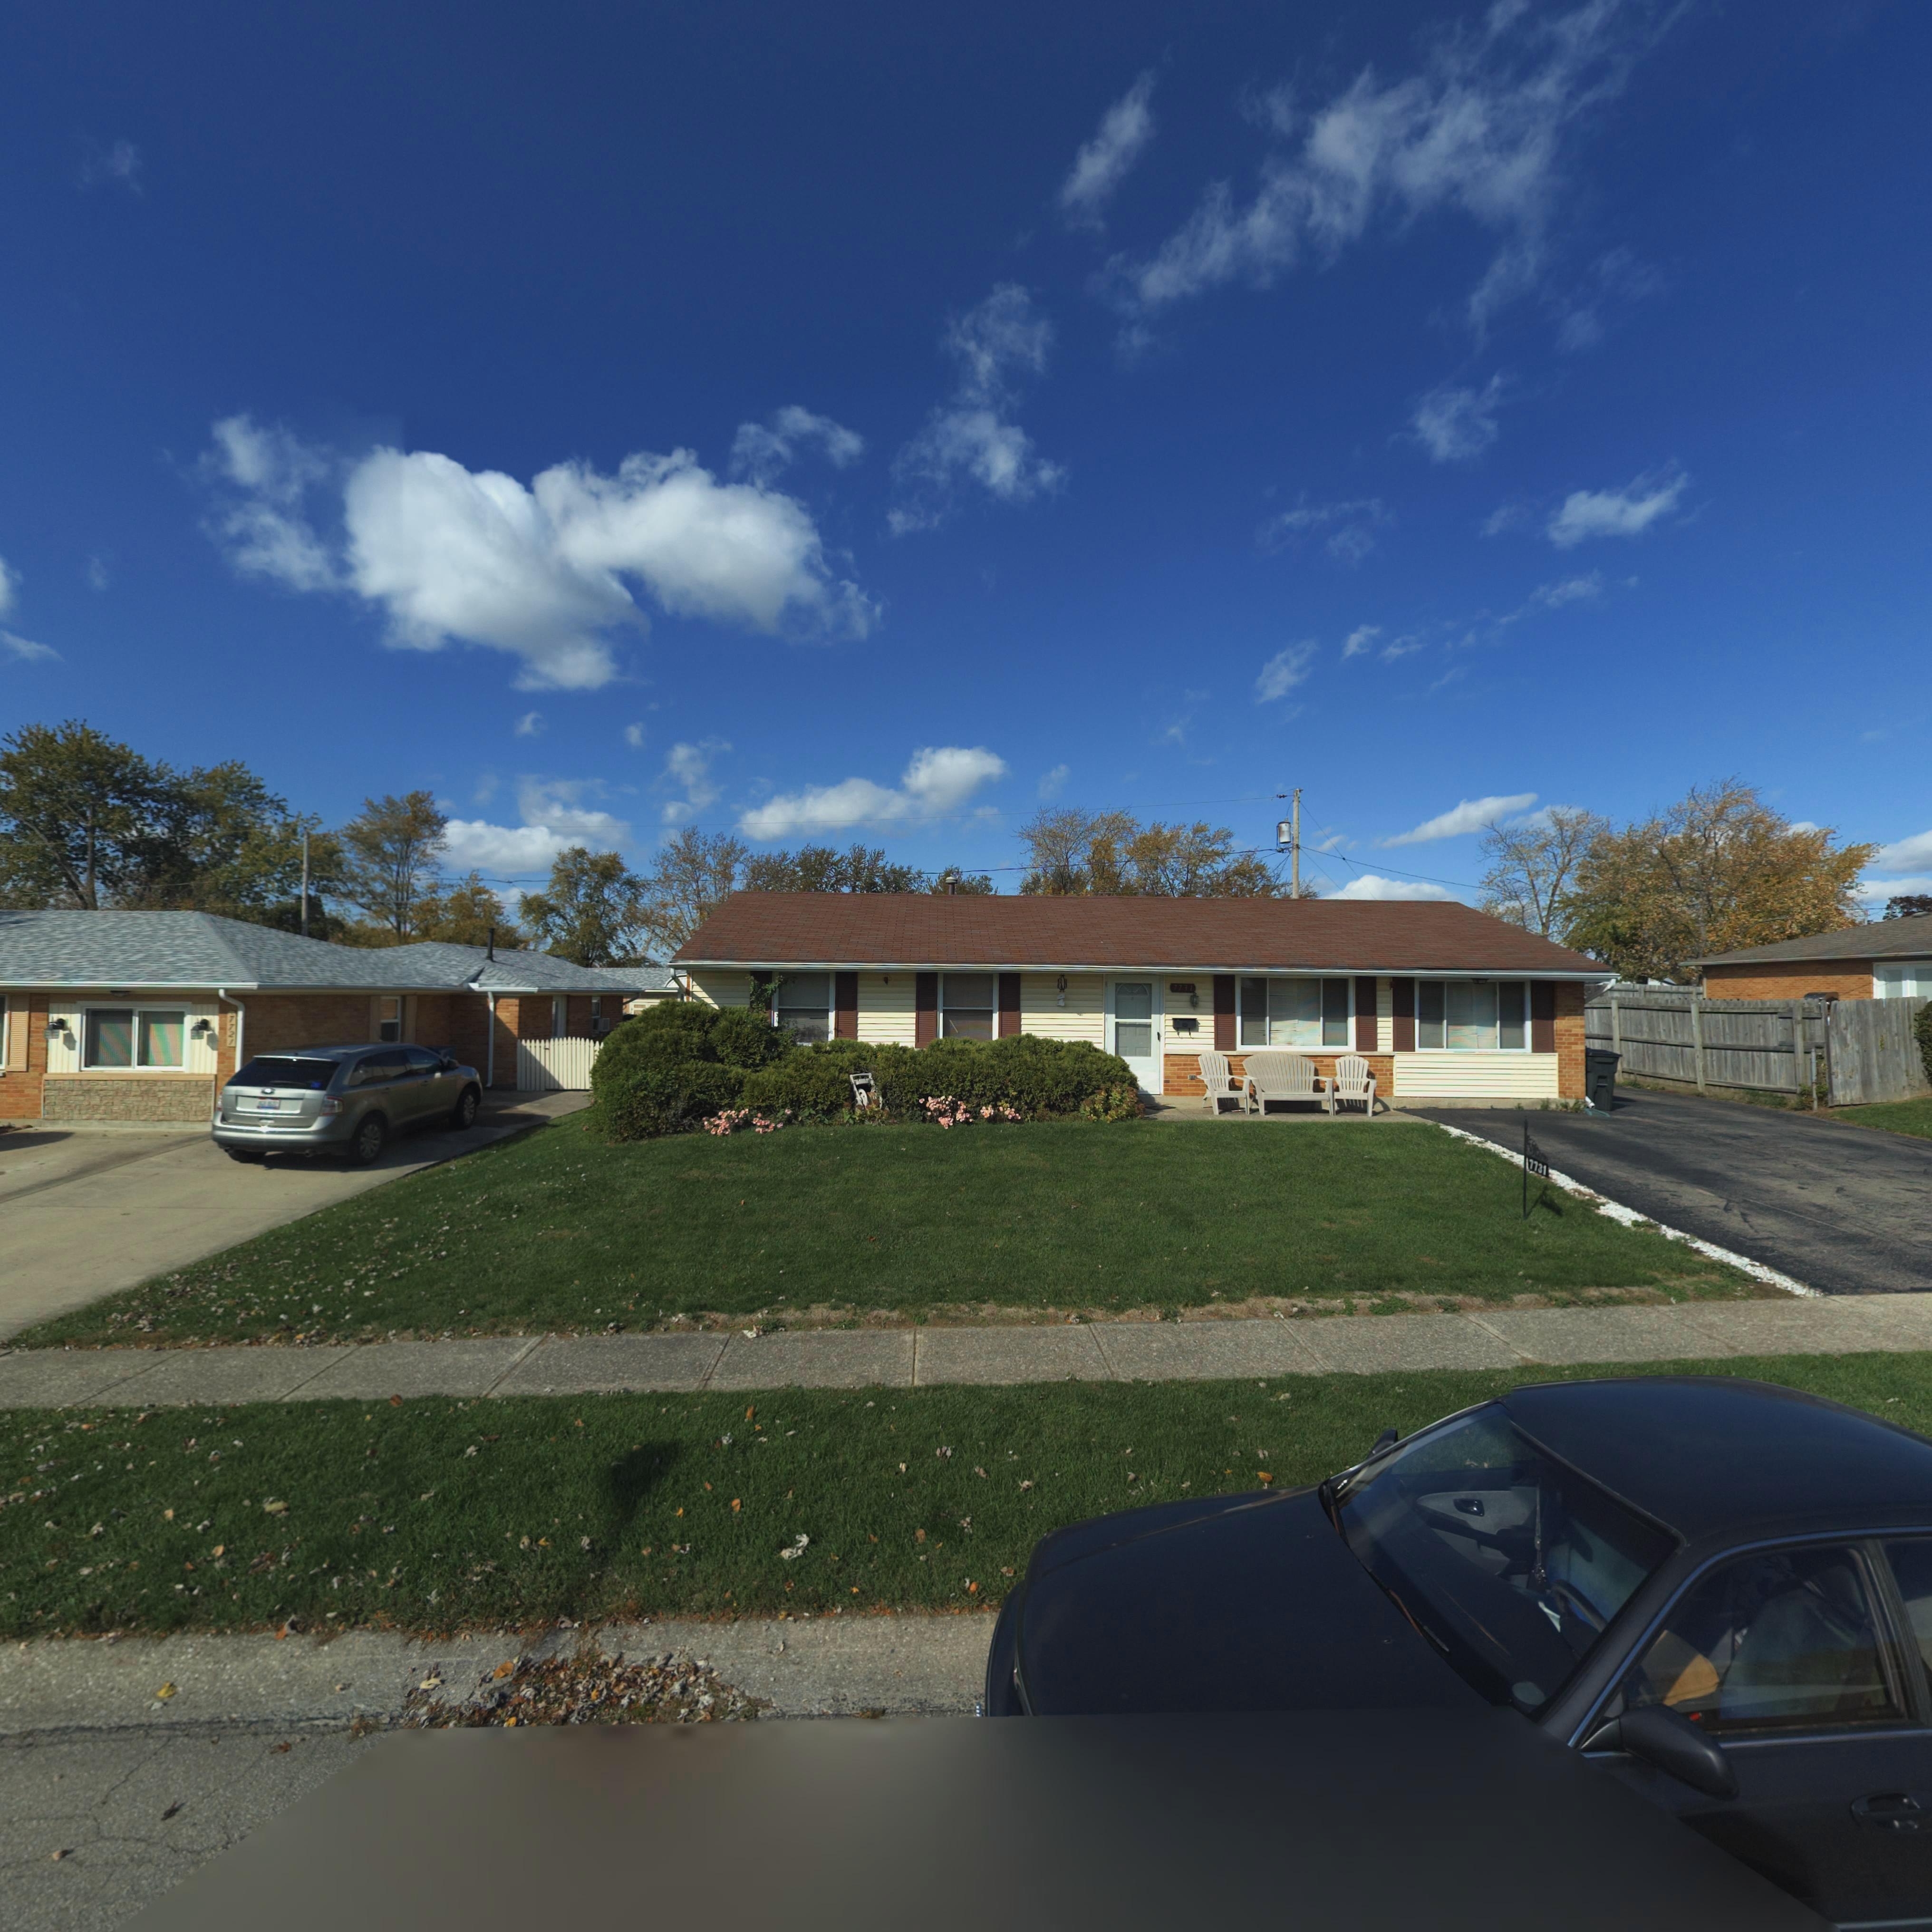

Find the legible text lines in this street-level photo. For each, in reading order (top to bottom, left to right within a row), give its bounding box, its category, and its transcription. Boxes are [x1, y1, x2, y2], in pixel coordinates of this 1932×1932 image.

[1173, 984, 1193, 992] StreetNumber: 7731
[227, 1015, 235, 1047] StreetNumber: 7721
[1529, 1158, 1547, 1177] StreetNumber: 7731